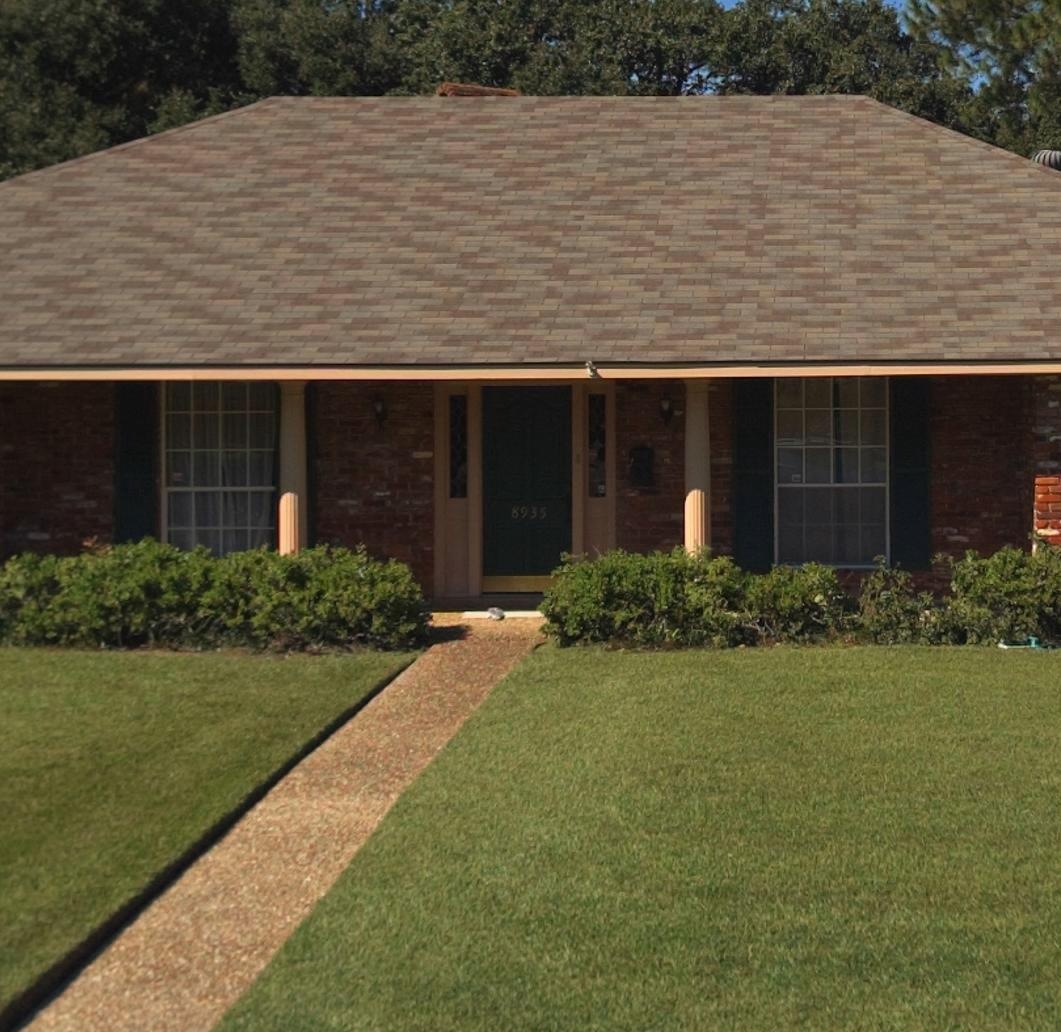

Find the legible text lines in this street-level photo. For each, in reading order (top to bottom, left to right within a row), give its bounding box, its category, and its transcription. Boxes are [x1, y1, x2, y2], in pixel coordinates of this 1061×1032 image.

[510, 504, 548, 520] StreetNumber: 8935